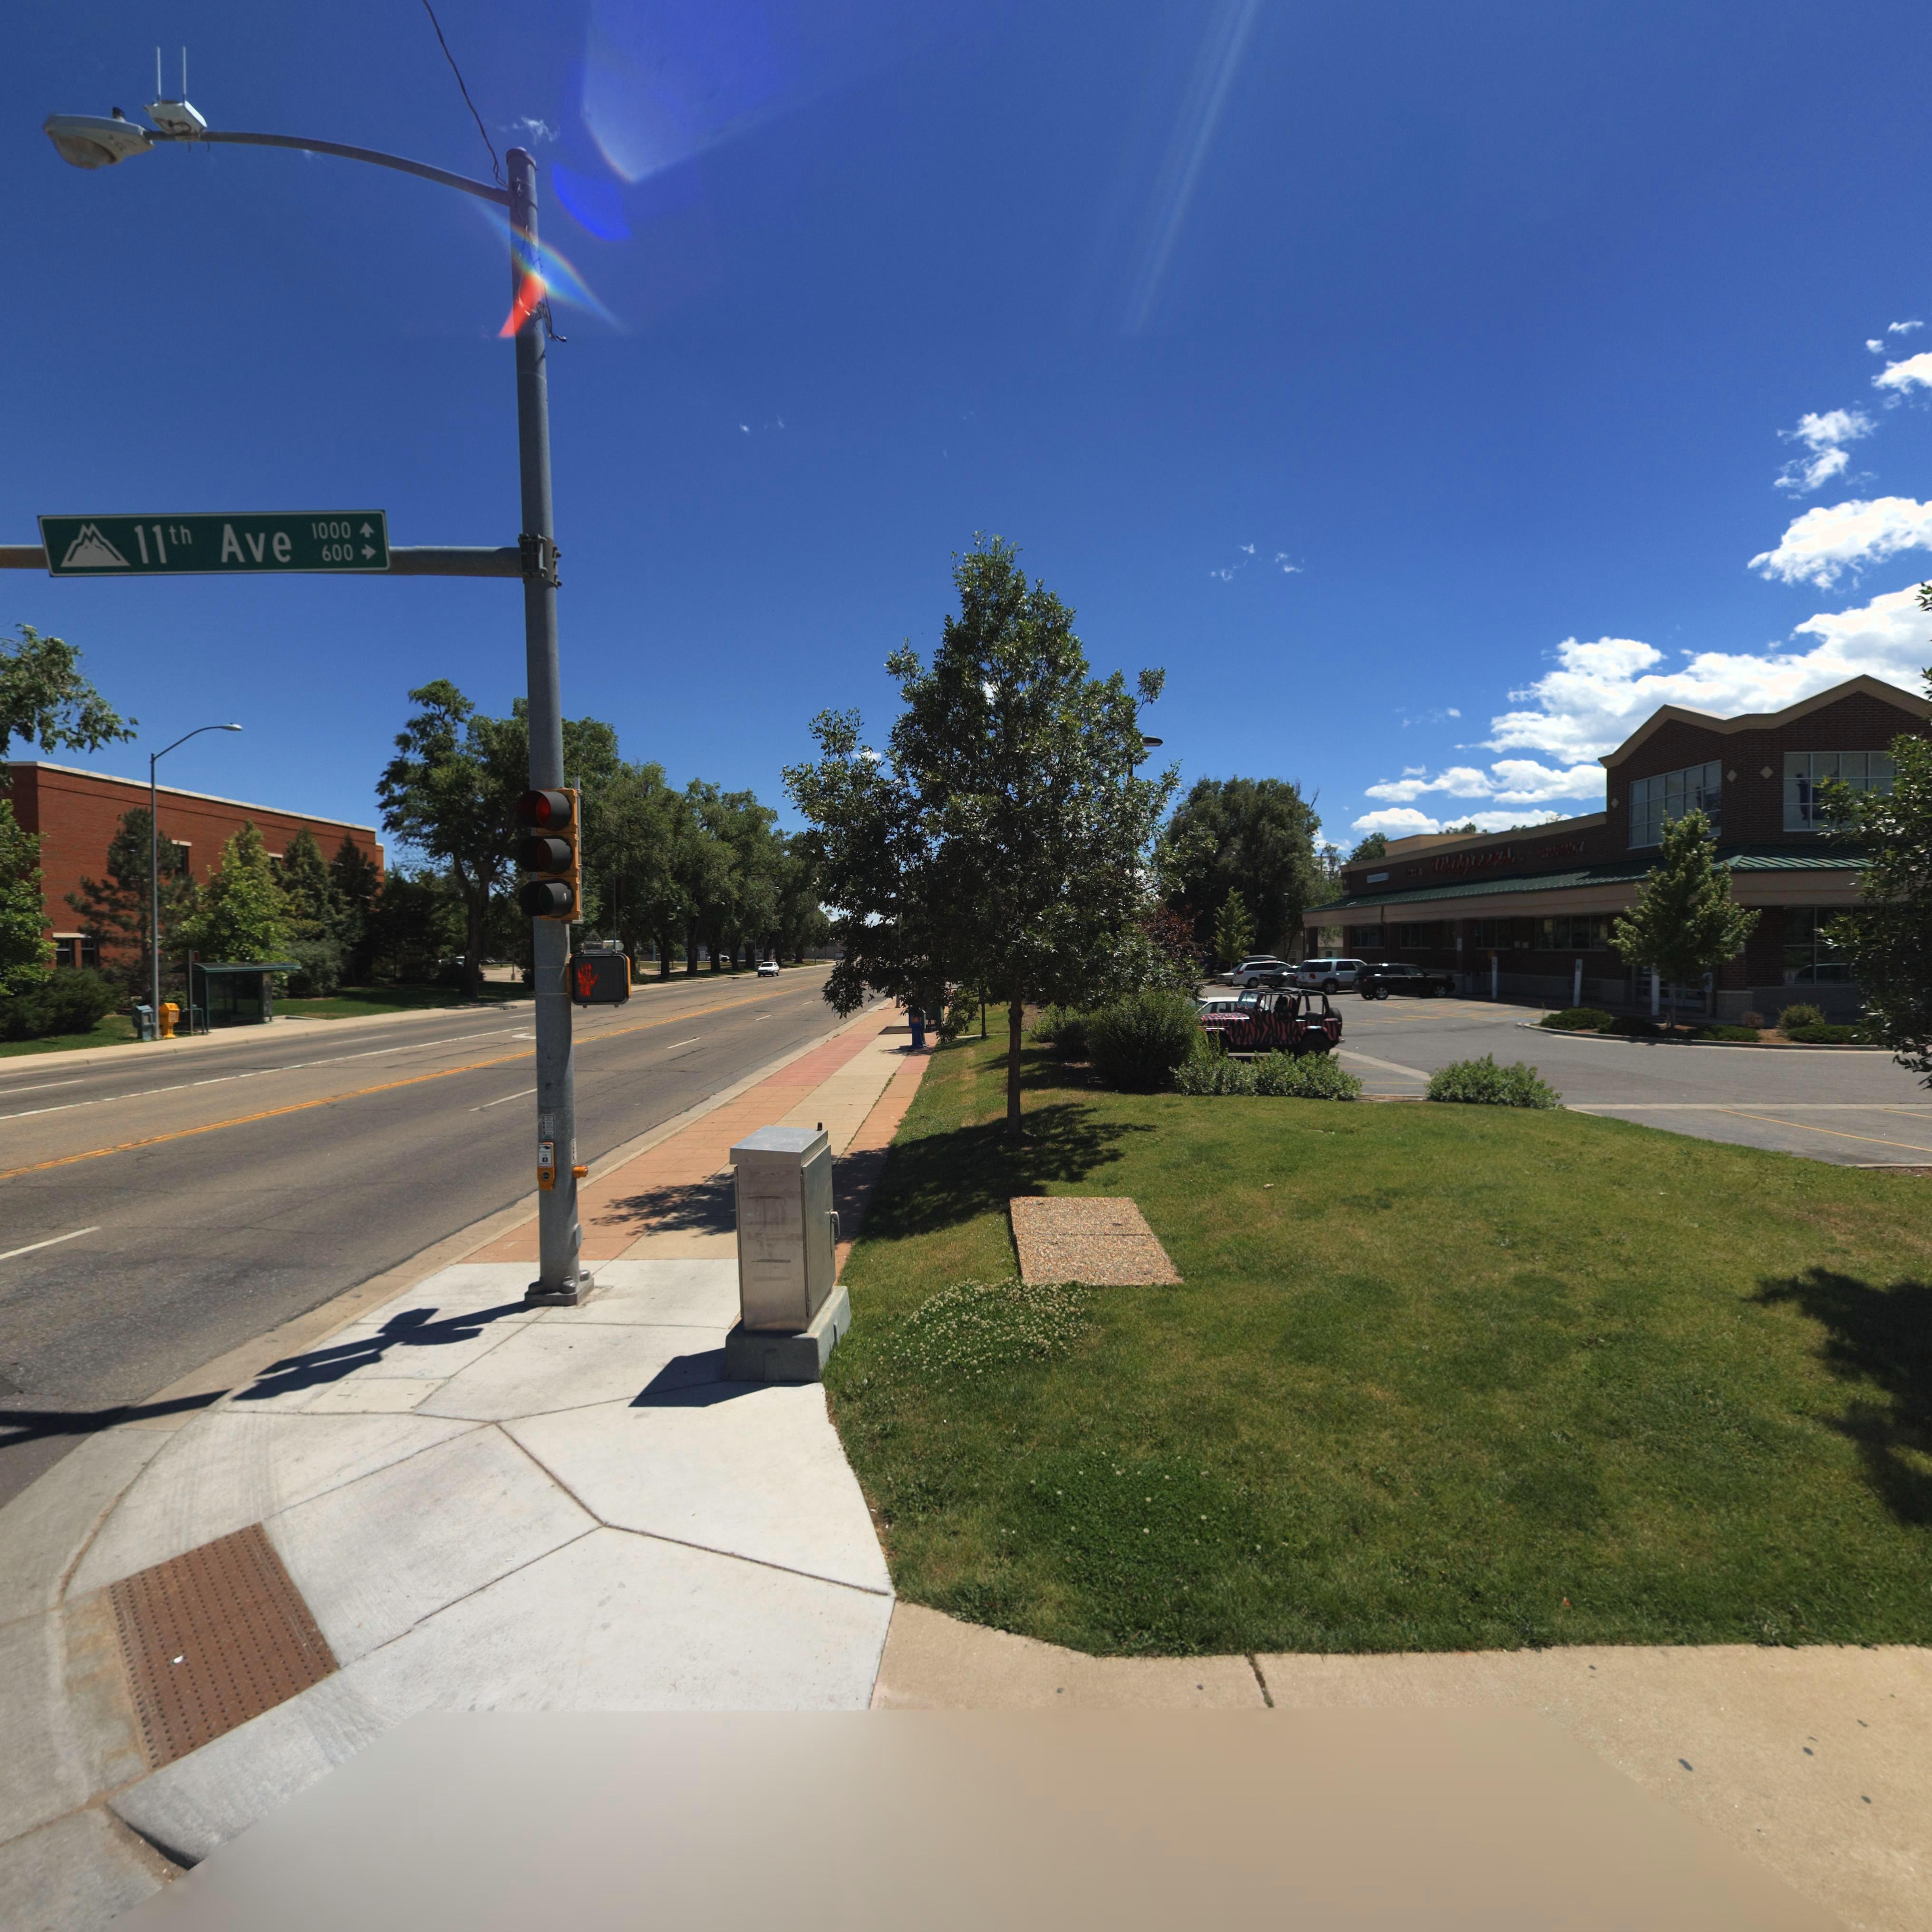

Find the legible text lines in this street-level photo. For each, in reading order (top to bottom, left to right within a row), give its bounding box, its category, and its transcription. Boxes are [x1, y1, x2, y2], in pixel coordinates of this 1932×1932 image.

[131, 521, 294, 566] StreetName: 11th Ave
[309, 519, 351, 541] StreetNumberRange: 1000
[320, 541, 377, 562] StreetNumberRange: 600->
[1429, 846, 1517, 877] BusinessName: Walgreens